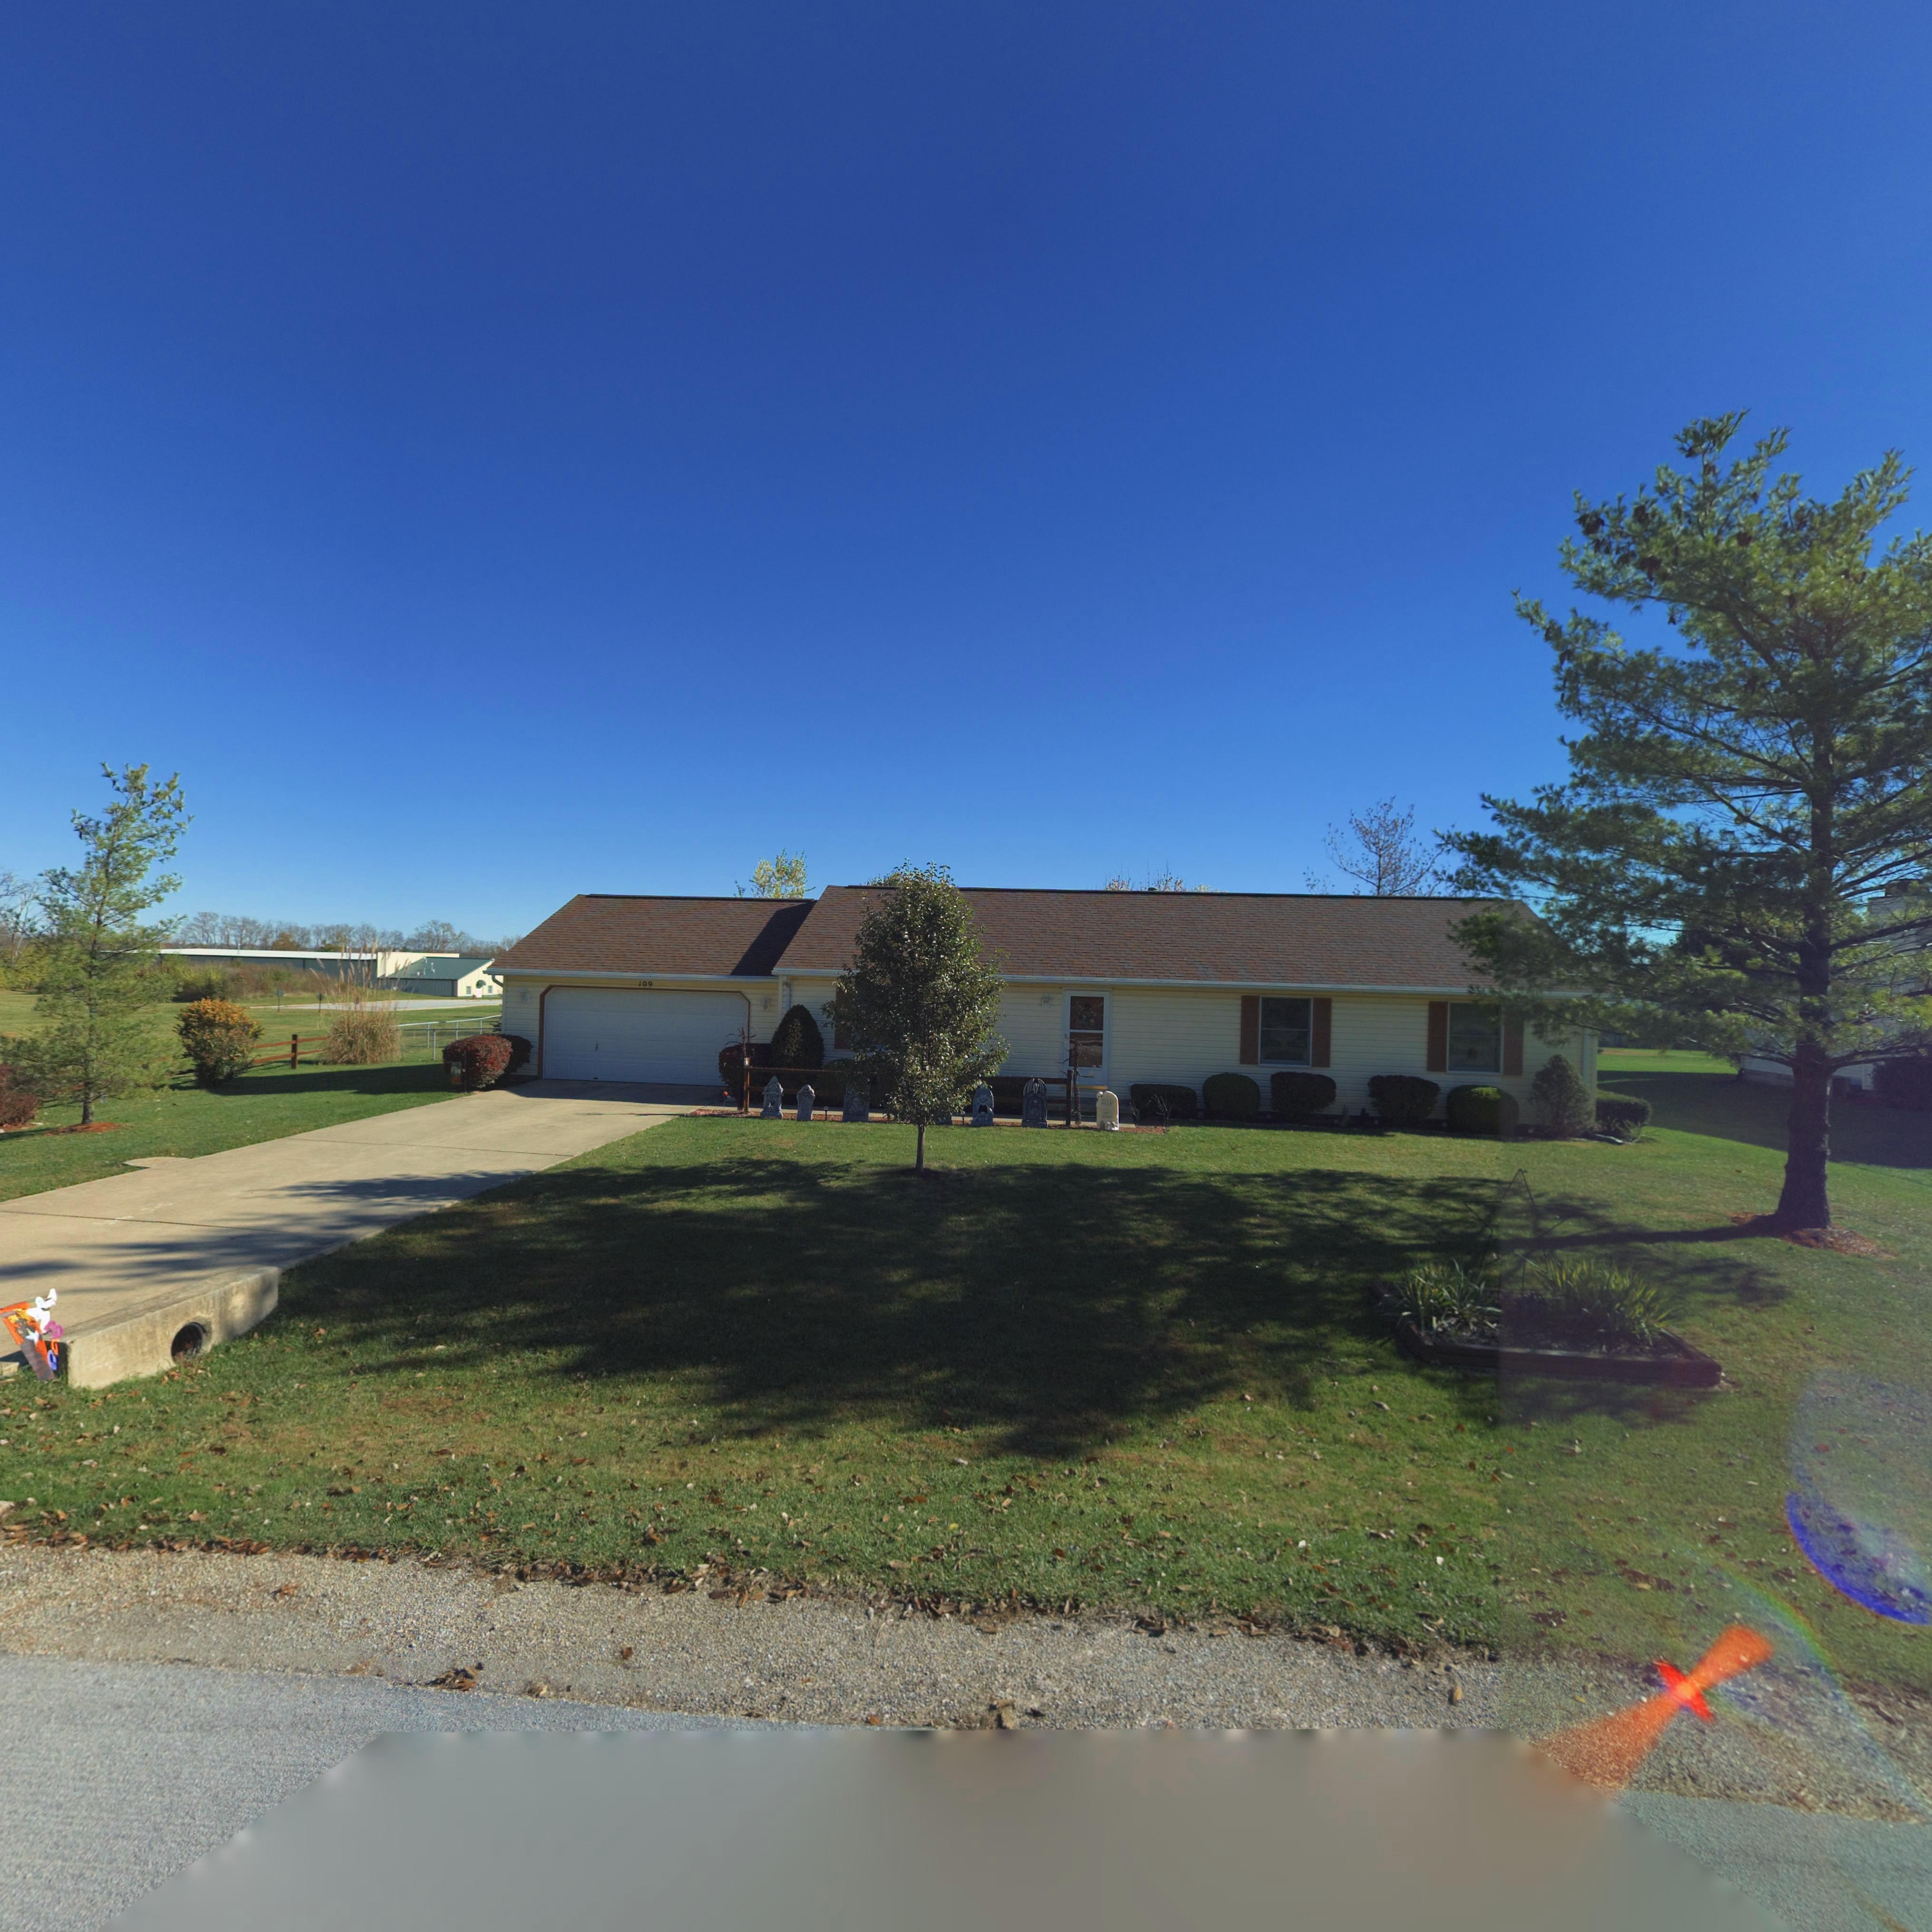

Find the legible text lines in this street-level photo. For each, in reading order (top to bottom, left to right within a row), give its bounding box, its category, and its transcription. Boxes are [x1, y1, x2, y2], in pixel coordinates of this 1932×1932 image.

[638, 980, 653, 988] StreetNumber: 109